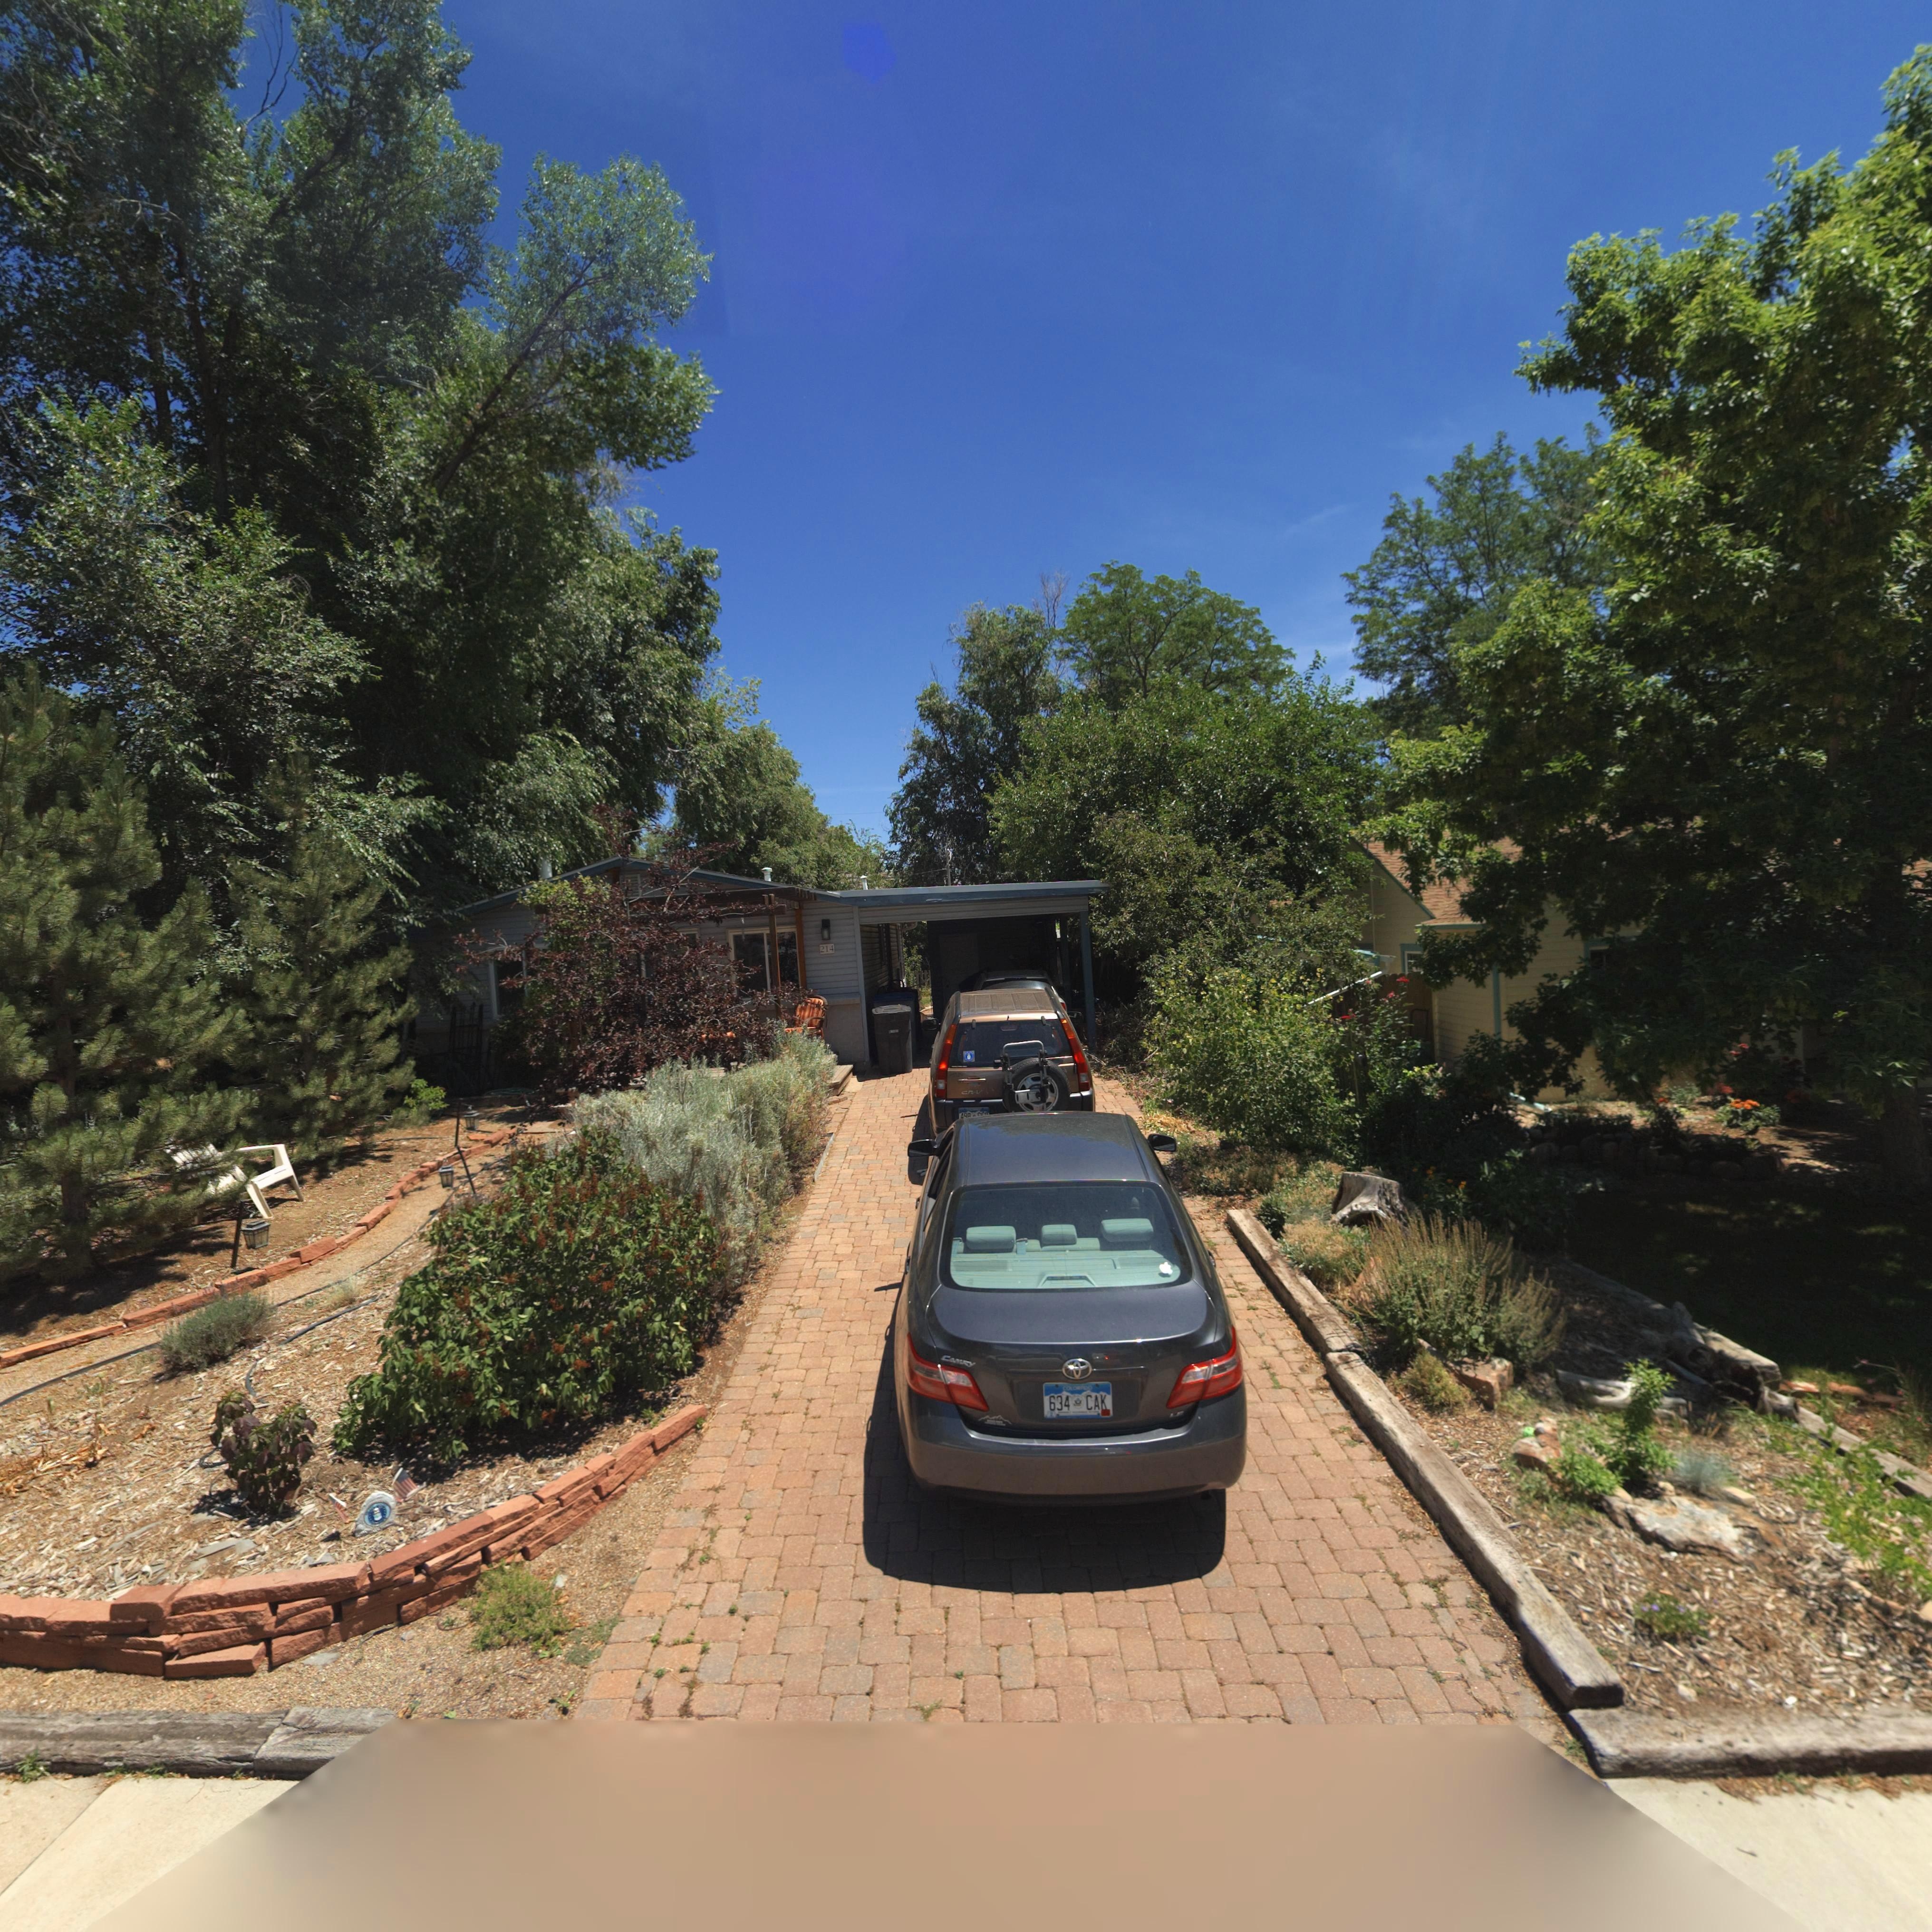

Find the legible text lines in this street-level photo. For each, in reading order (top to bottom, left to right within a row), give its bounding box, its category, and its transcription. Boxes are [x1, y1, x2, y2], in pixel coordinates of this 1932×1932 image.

[819, 945, 834, 953] StreetNumber: 214